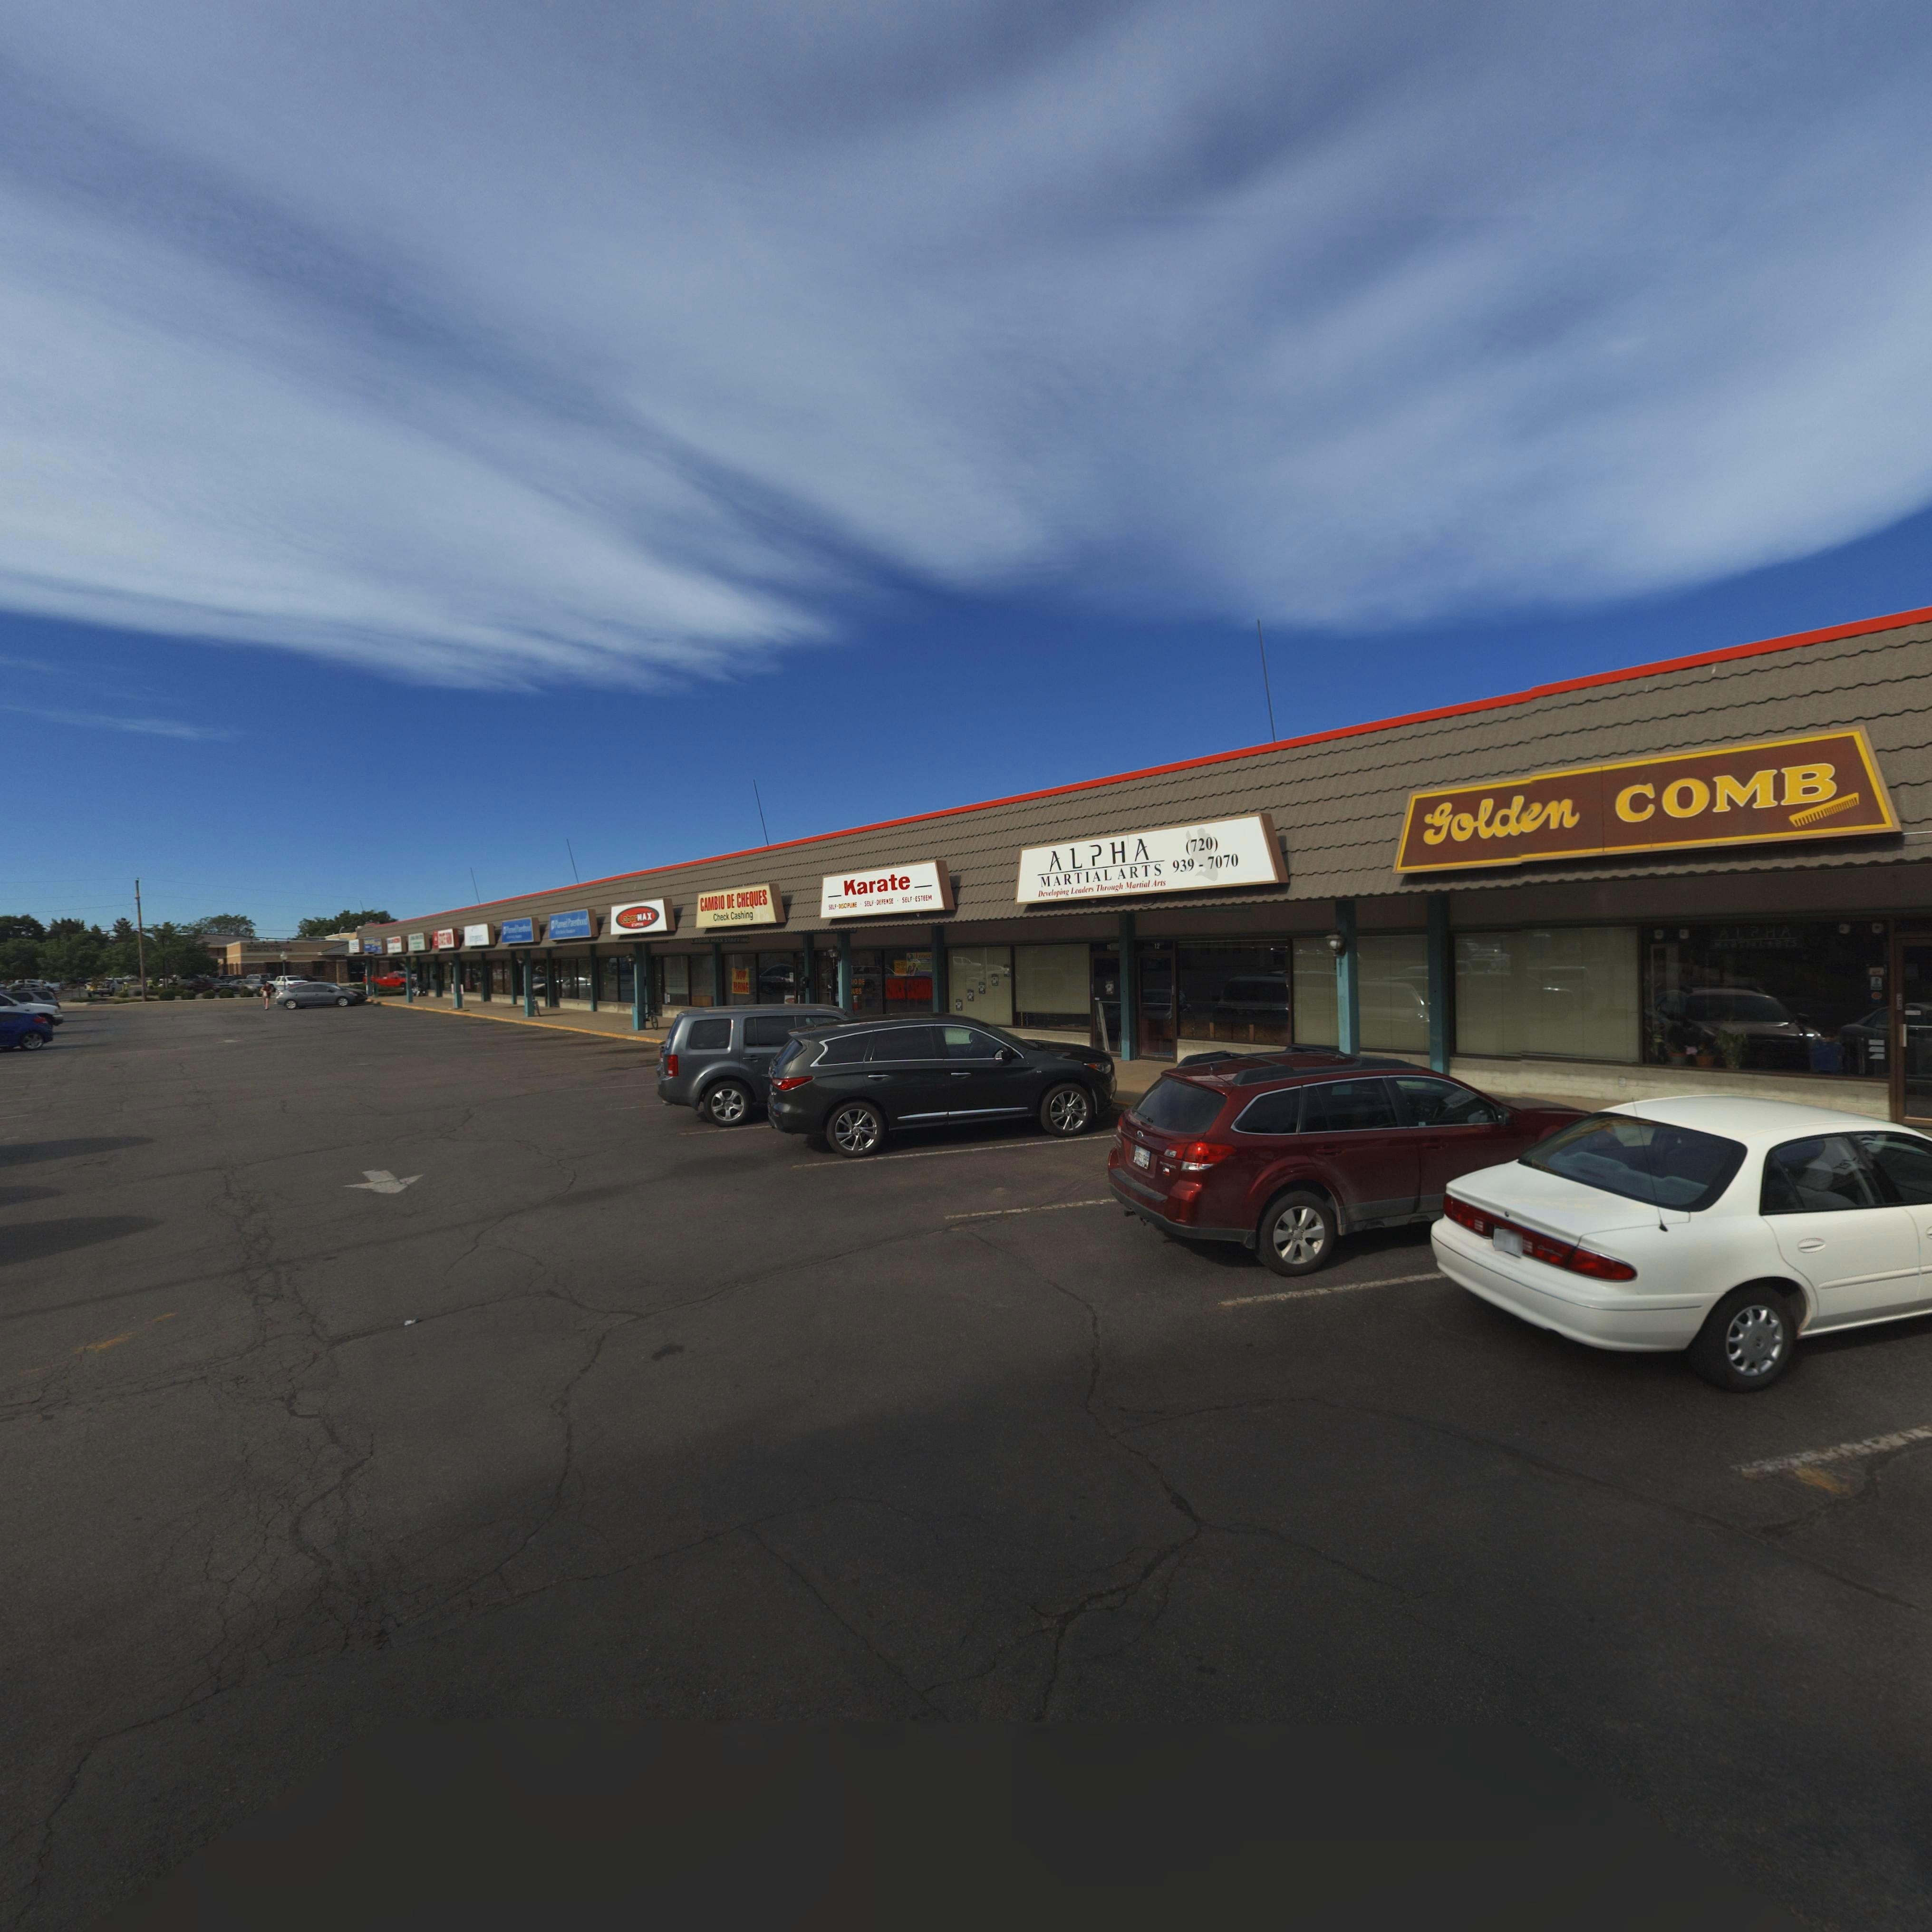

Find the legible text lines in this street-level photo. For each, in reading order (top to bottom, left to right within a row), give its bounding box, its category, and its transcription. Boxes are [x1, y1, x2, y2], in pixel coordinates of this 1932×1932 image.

[1419, 759, 1840, 847] BusinessName: Golden COMB
[1048, 837, 1150, 872] BusinessName: ALPHA
[1040, 862, 1163, 888] BusinessName: MARTIAL ARTS
[700, 889, 768, 912] BusinessName: CAMBIO DE CHEQUES
[554, 915, 588, 928] BusinessName: P****** Pa*******
[619, 911, 652, 924] BusinessName: *aborMAX
[1717, 924, 1792, 939] BusinessName: ALPHA
[690, 937, 750, 943] BusinessName: LABOR MAX STAFFING
[1713, 938, 1797, 949] BusinessName: MARTIAL ARTS